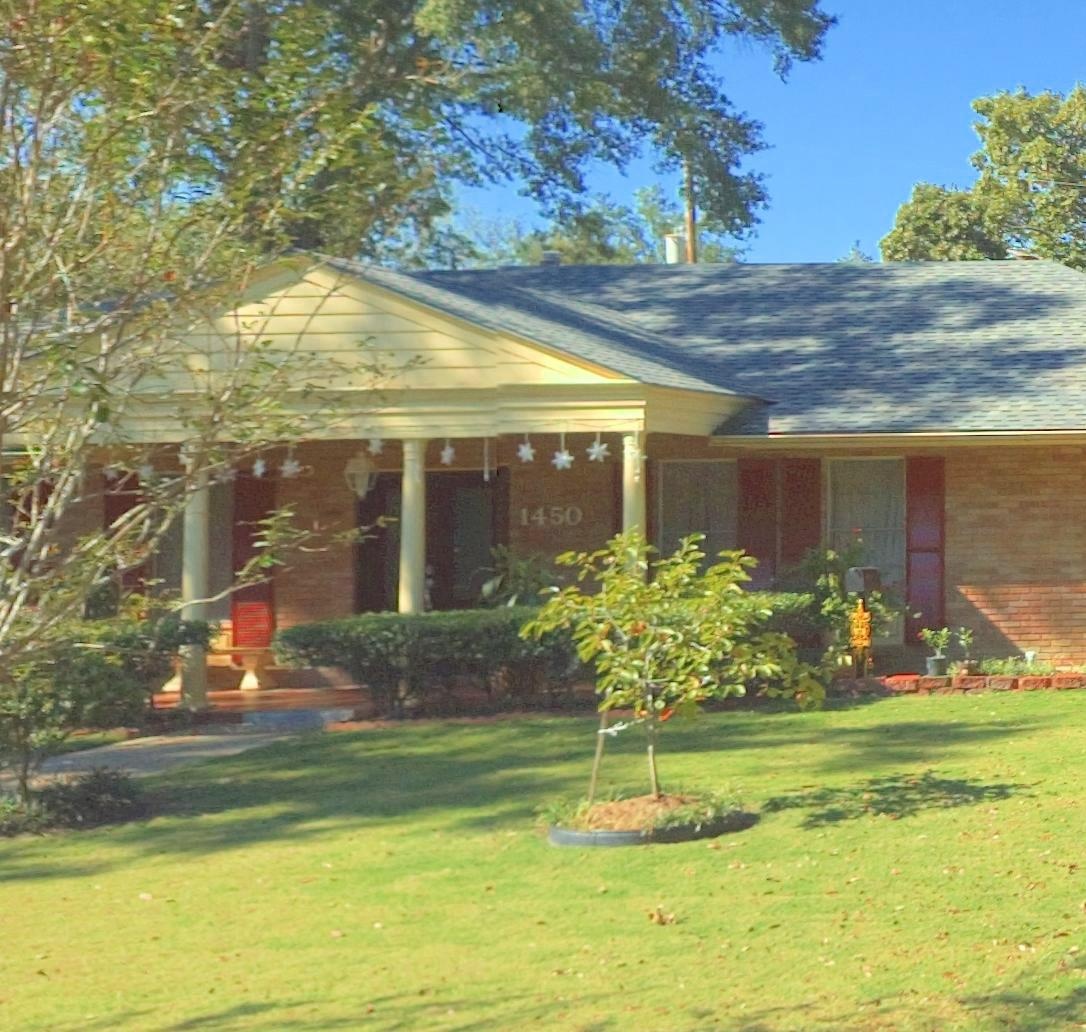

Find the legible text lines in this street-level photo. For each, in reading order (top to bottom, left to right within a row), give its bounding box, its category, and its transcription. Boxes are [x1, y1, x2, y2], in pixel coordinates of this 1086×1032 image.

[519, 504, 585, 527] StreetNumber: 1450